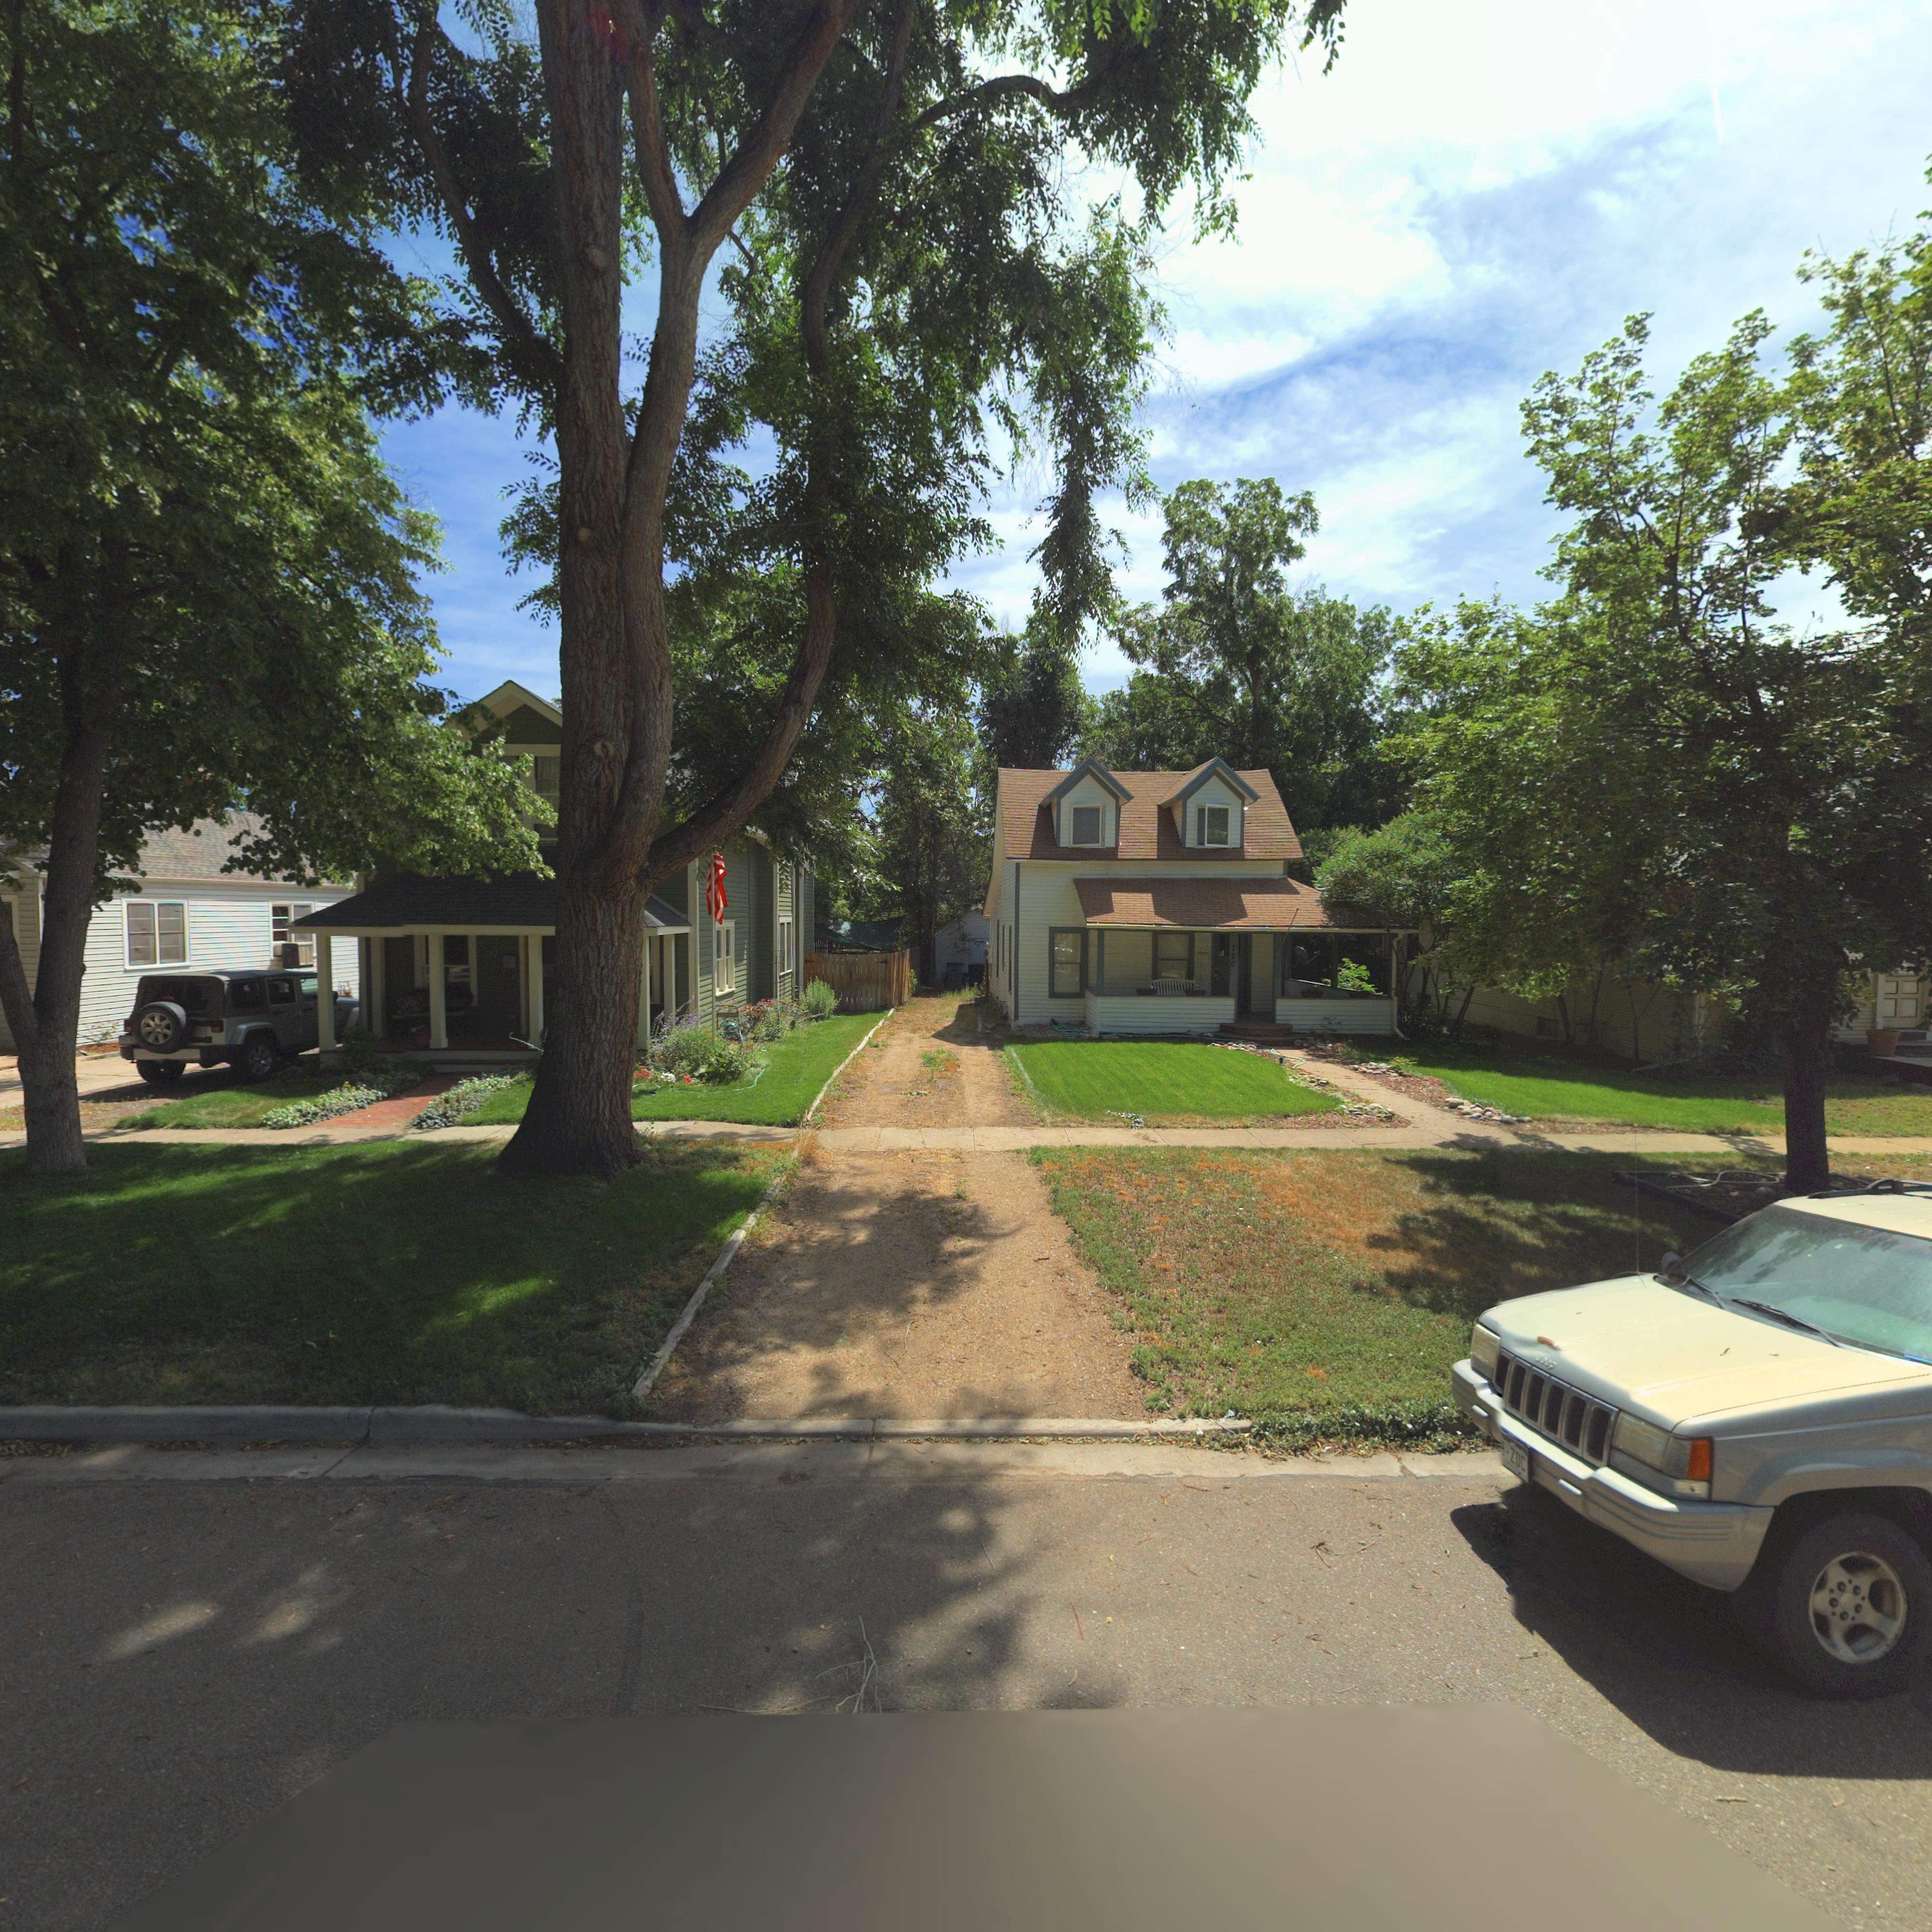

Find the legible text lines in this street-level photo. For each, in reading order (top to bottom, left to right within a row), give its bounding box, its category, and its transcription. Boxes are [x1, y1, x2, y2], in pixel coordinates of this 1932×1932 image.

[1231, 944, 1236, 968] StreetNumber: 720